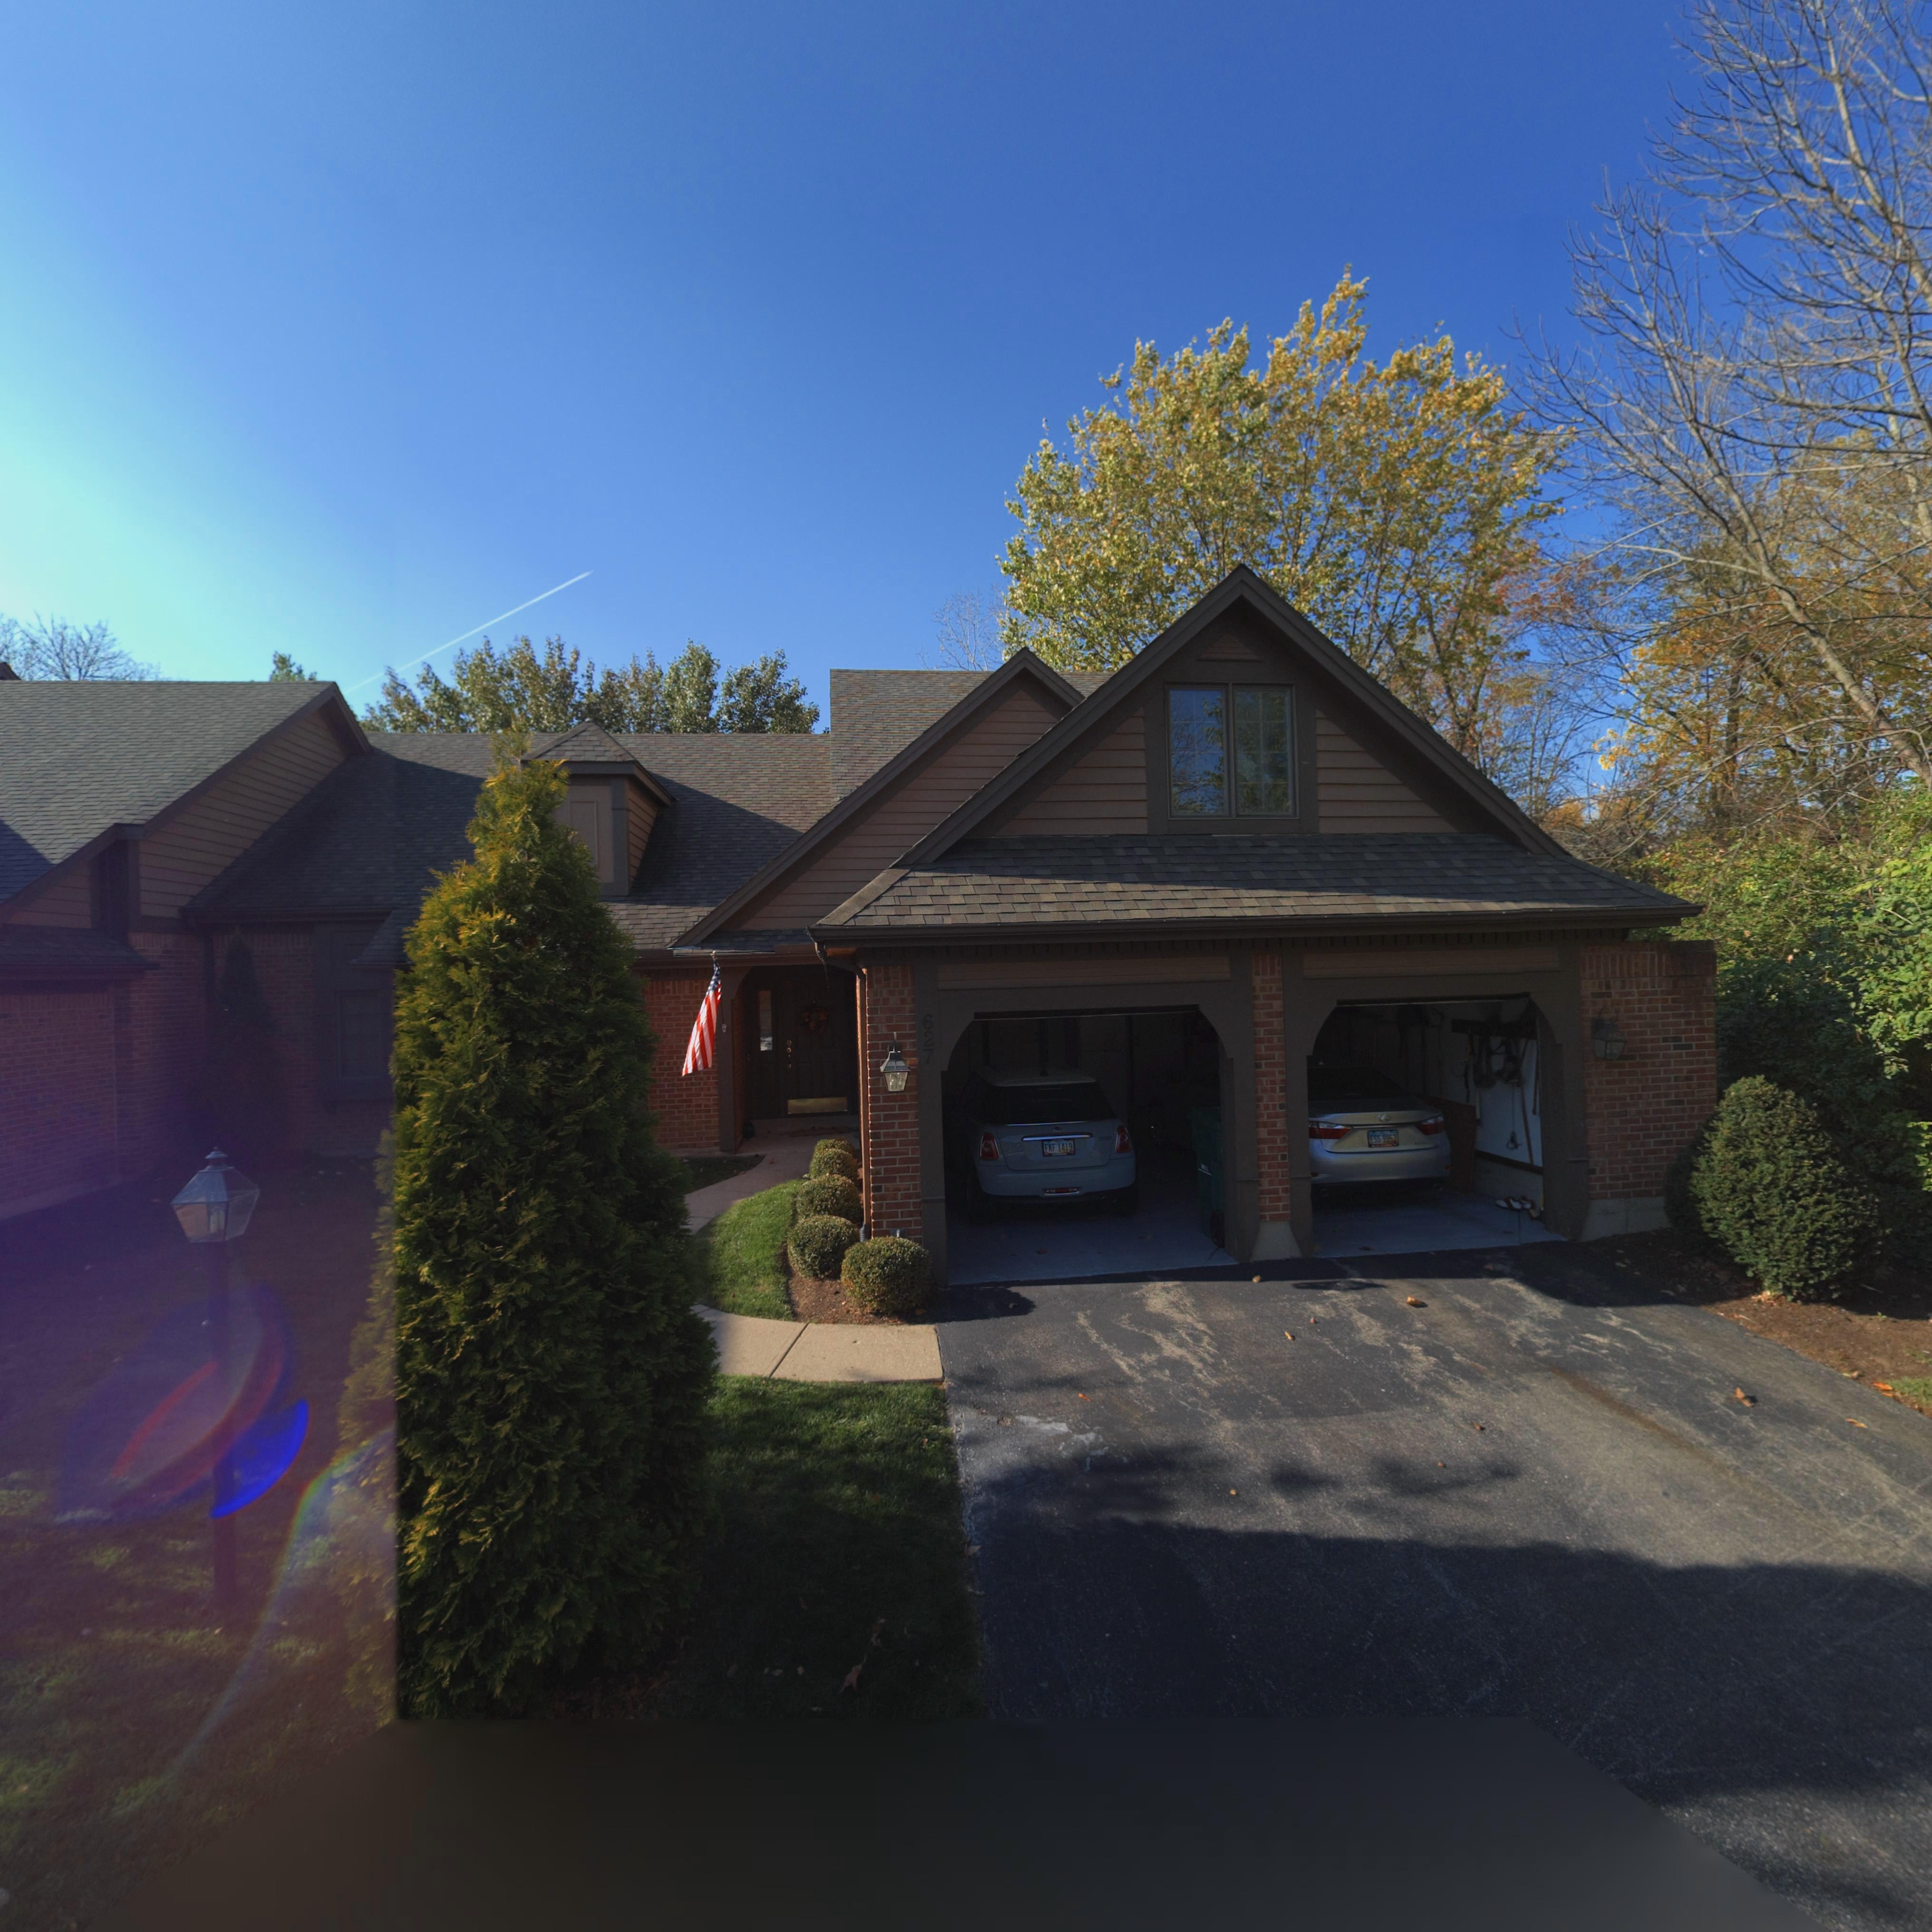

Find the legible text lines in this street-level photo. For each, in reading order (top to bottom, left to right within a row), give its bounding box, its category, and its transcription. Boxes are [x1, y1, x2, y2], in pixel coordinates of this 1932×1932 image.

[920, 1012, 937, 1065] StreetNumber: 627